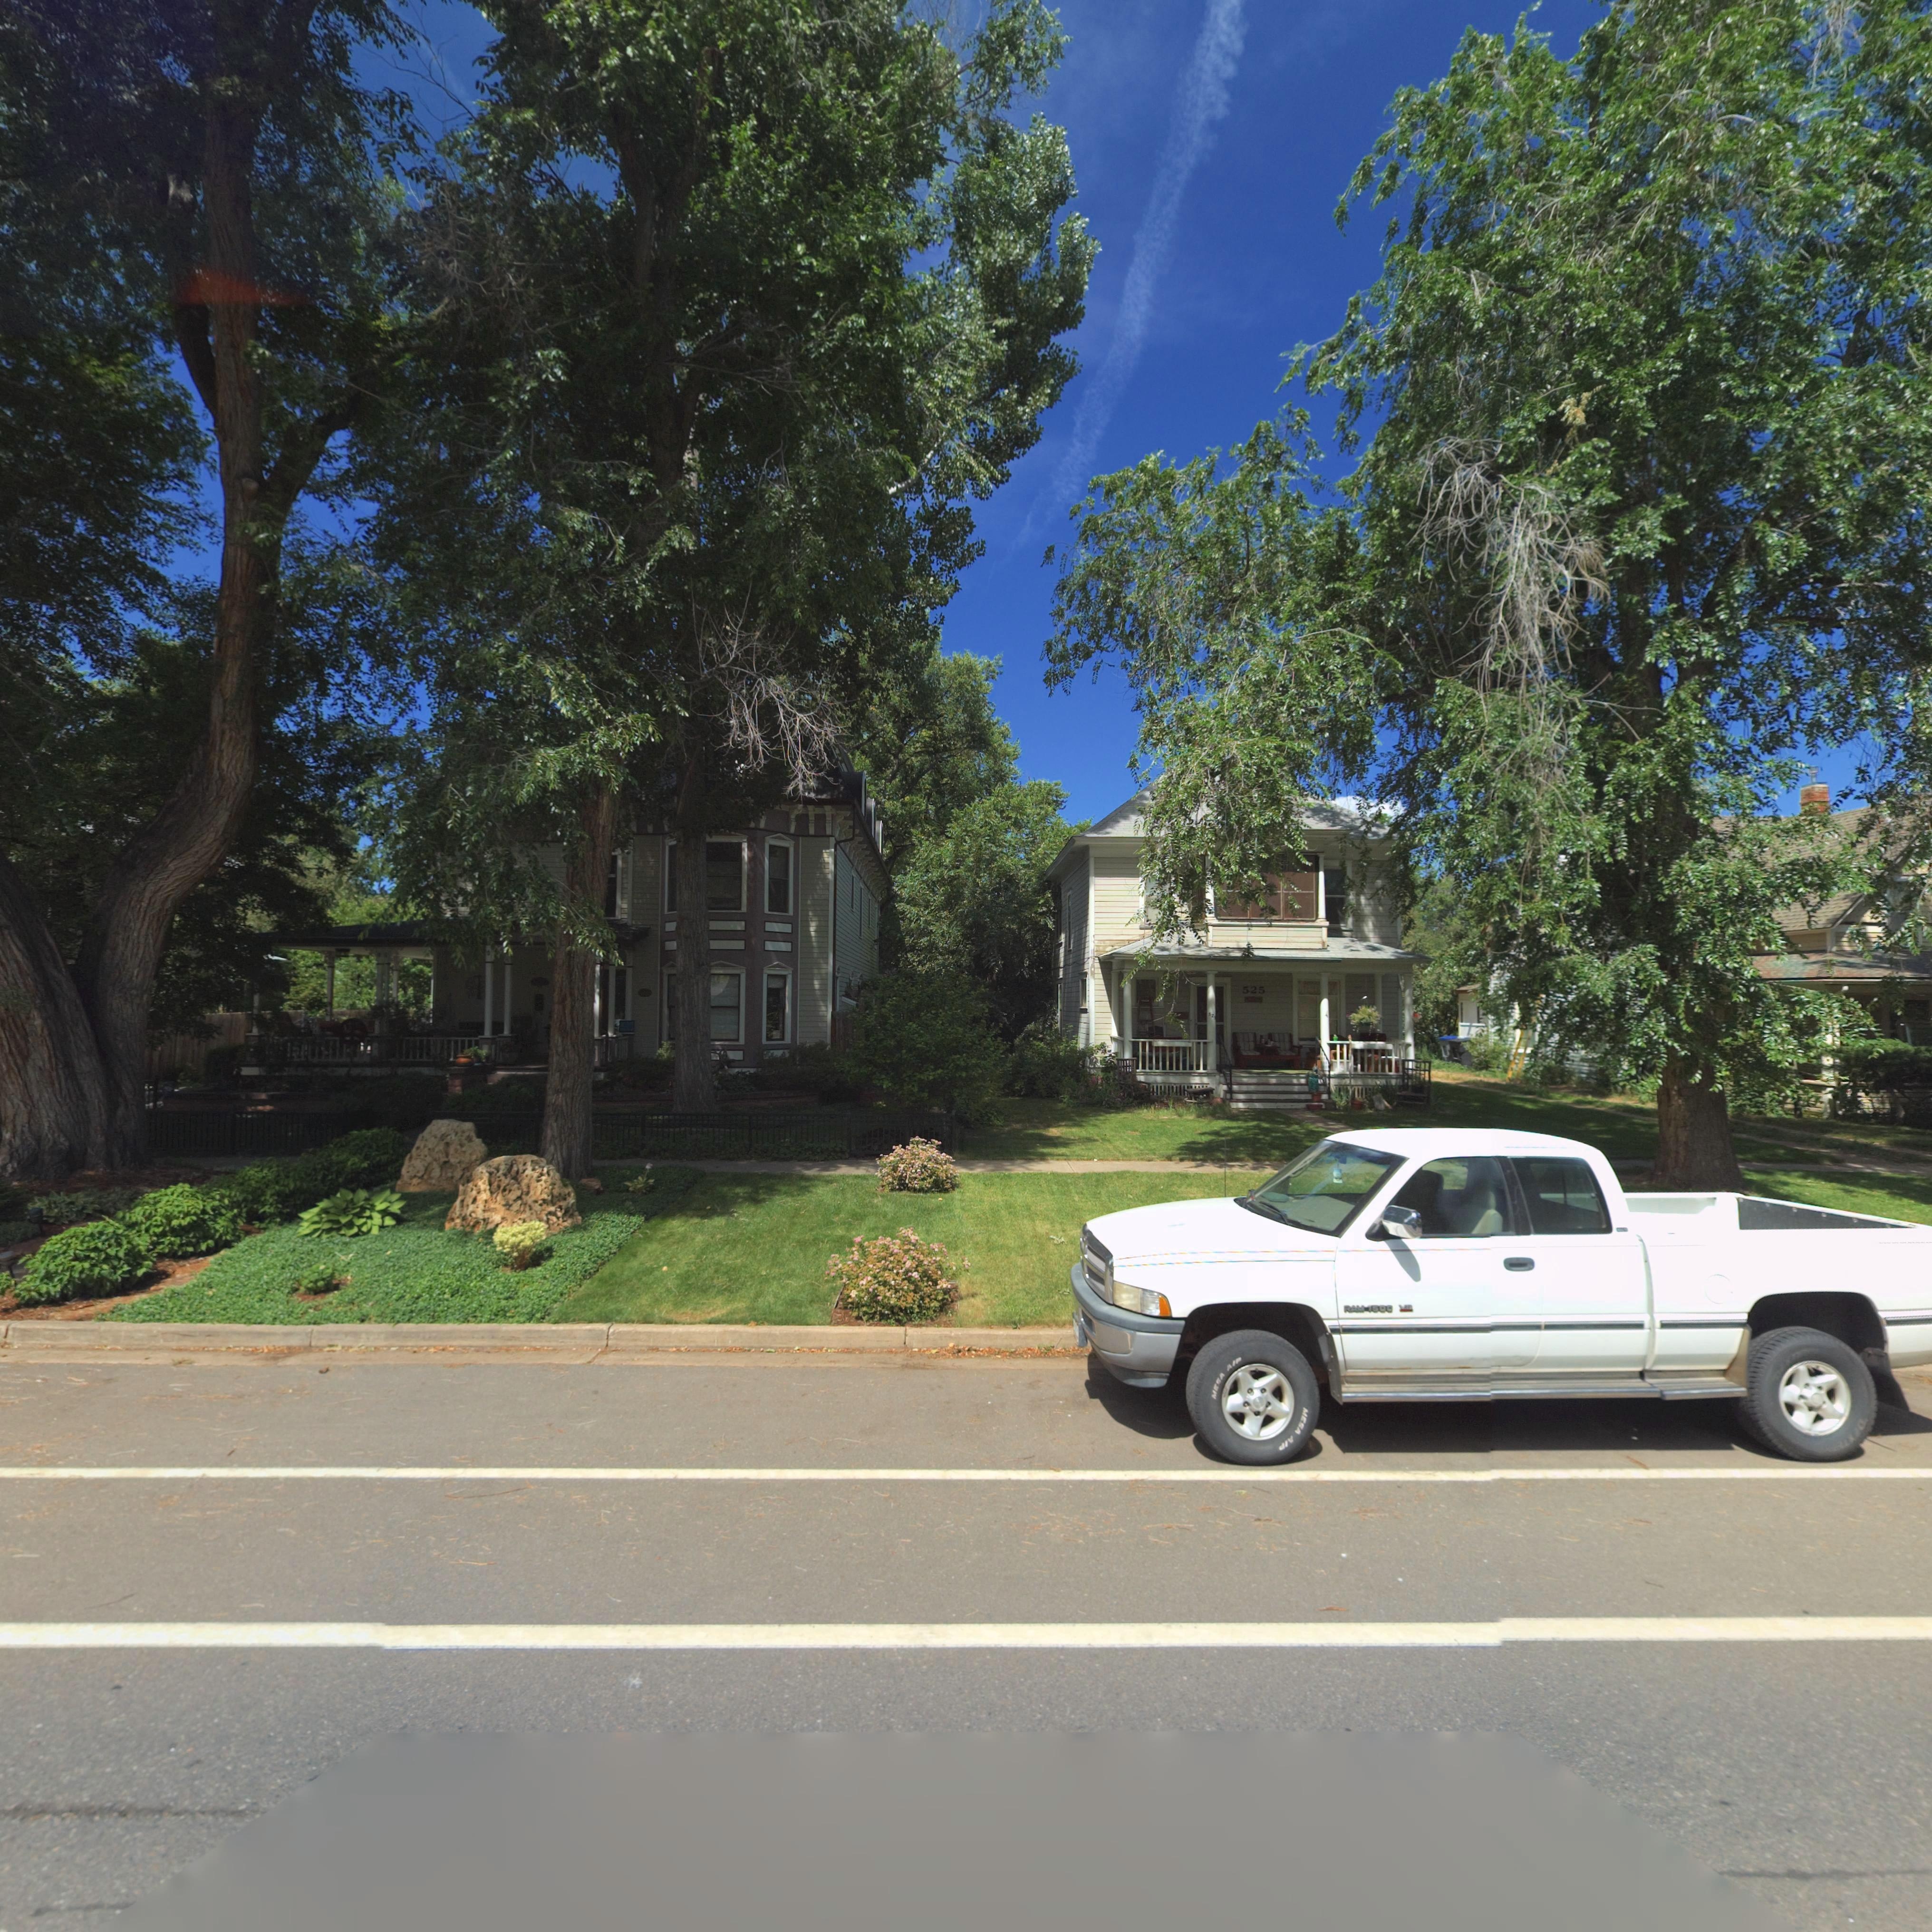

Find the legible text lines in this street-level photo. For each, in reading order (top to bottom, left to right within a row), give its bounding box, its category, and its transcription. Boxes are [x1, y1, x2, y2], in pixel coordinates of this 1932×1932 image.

[1242, 986, 1265, 994] StreetNumber: 525
[1208, 1012, 1216, 1020] None: *2*